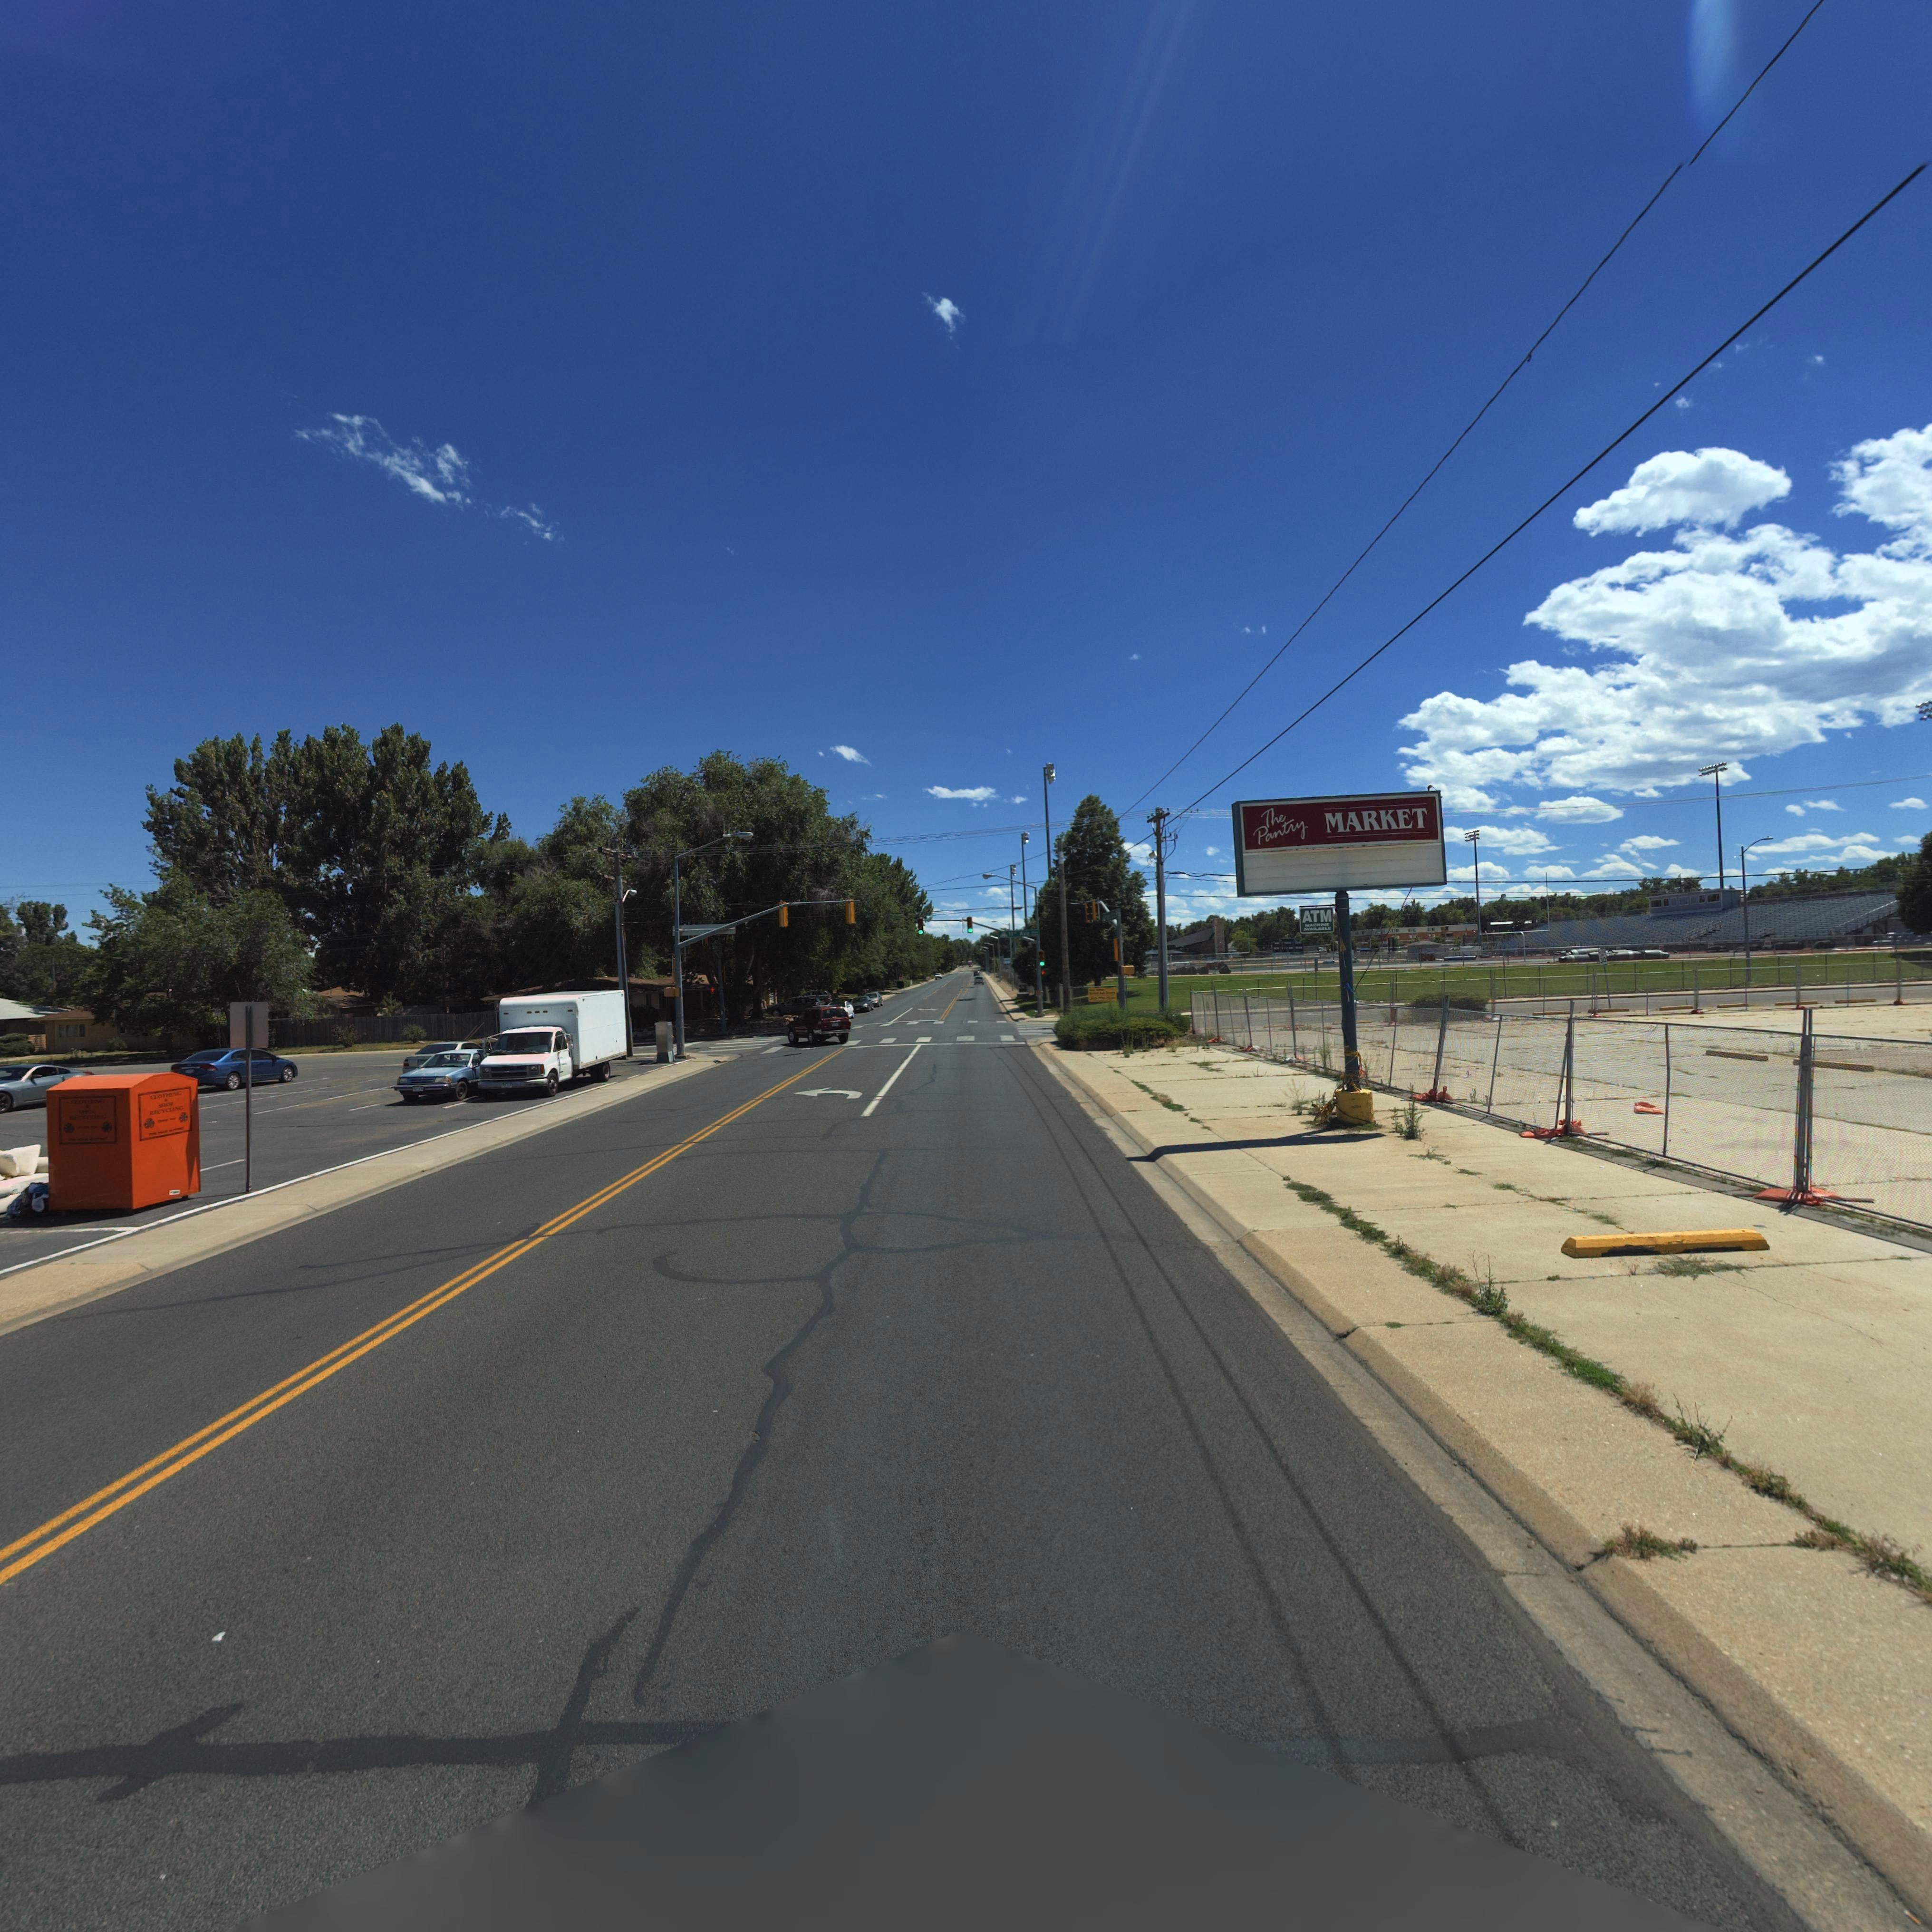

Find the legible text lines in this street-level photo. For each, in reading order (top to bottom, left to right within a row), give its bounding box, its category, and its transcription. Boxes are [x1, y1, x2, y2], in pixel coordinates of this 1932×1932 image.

[1259, 807, 1287, 828] BusinessName: The
[1252, 817, 1309, 846] BusinessName: Pantry
[1323, 807, 1429, 833] BusinessName: MARKET
[1008, 930, 1030, 937] StreetName: 11* Ave